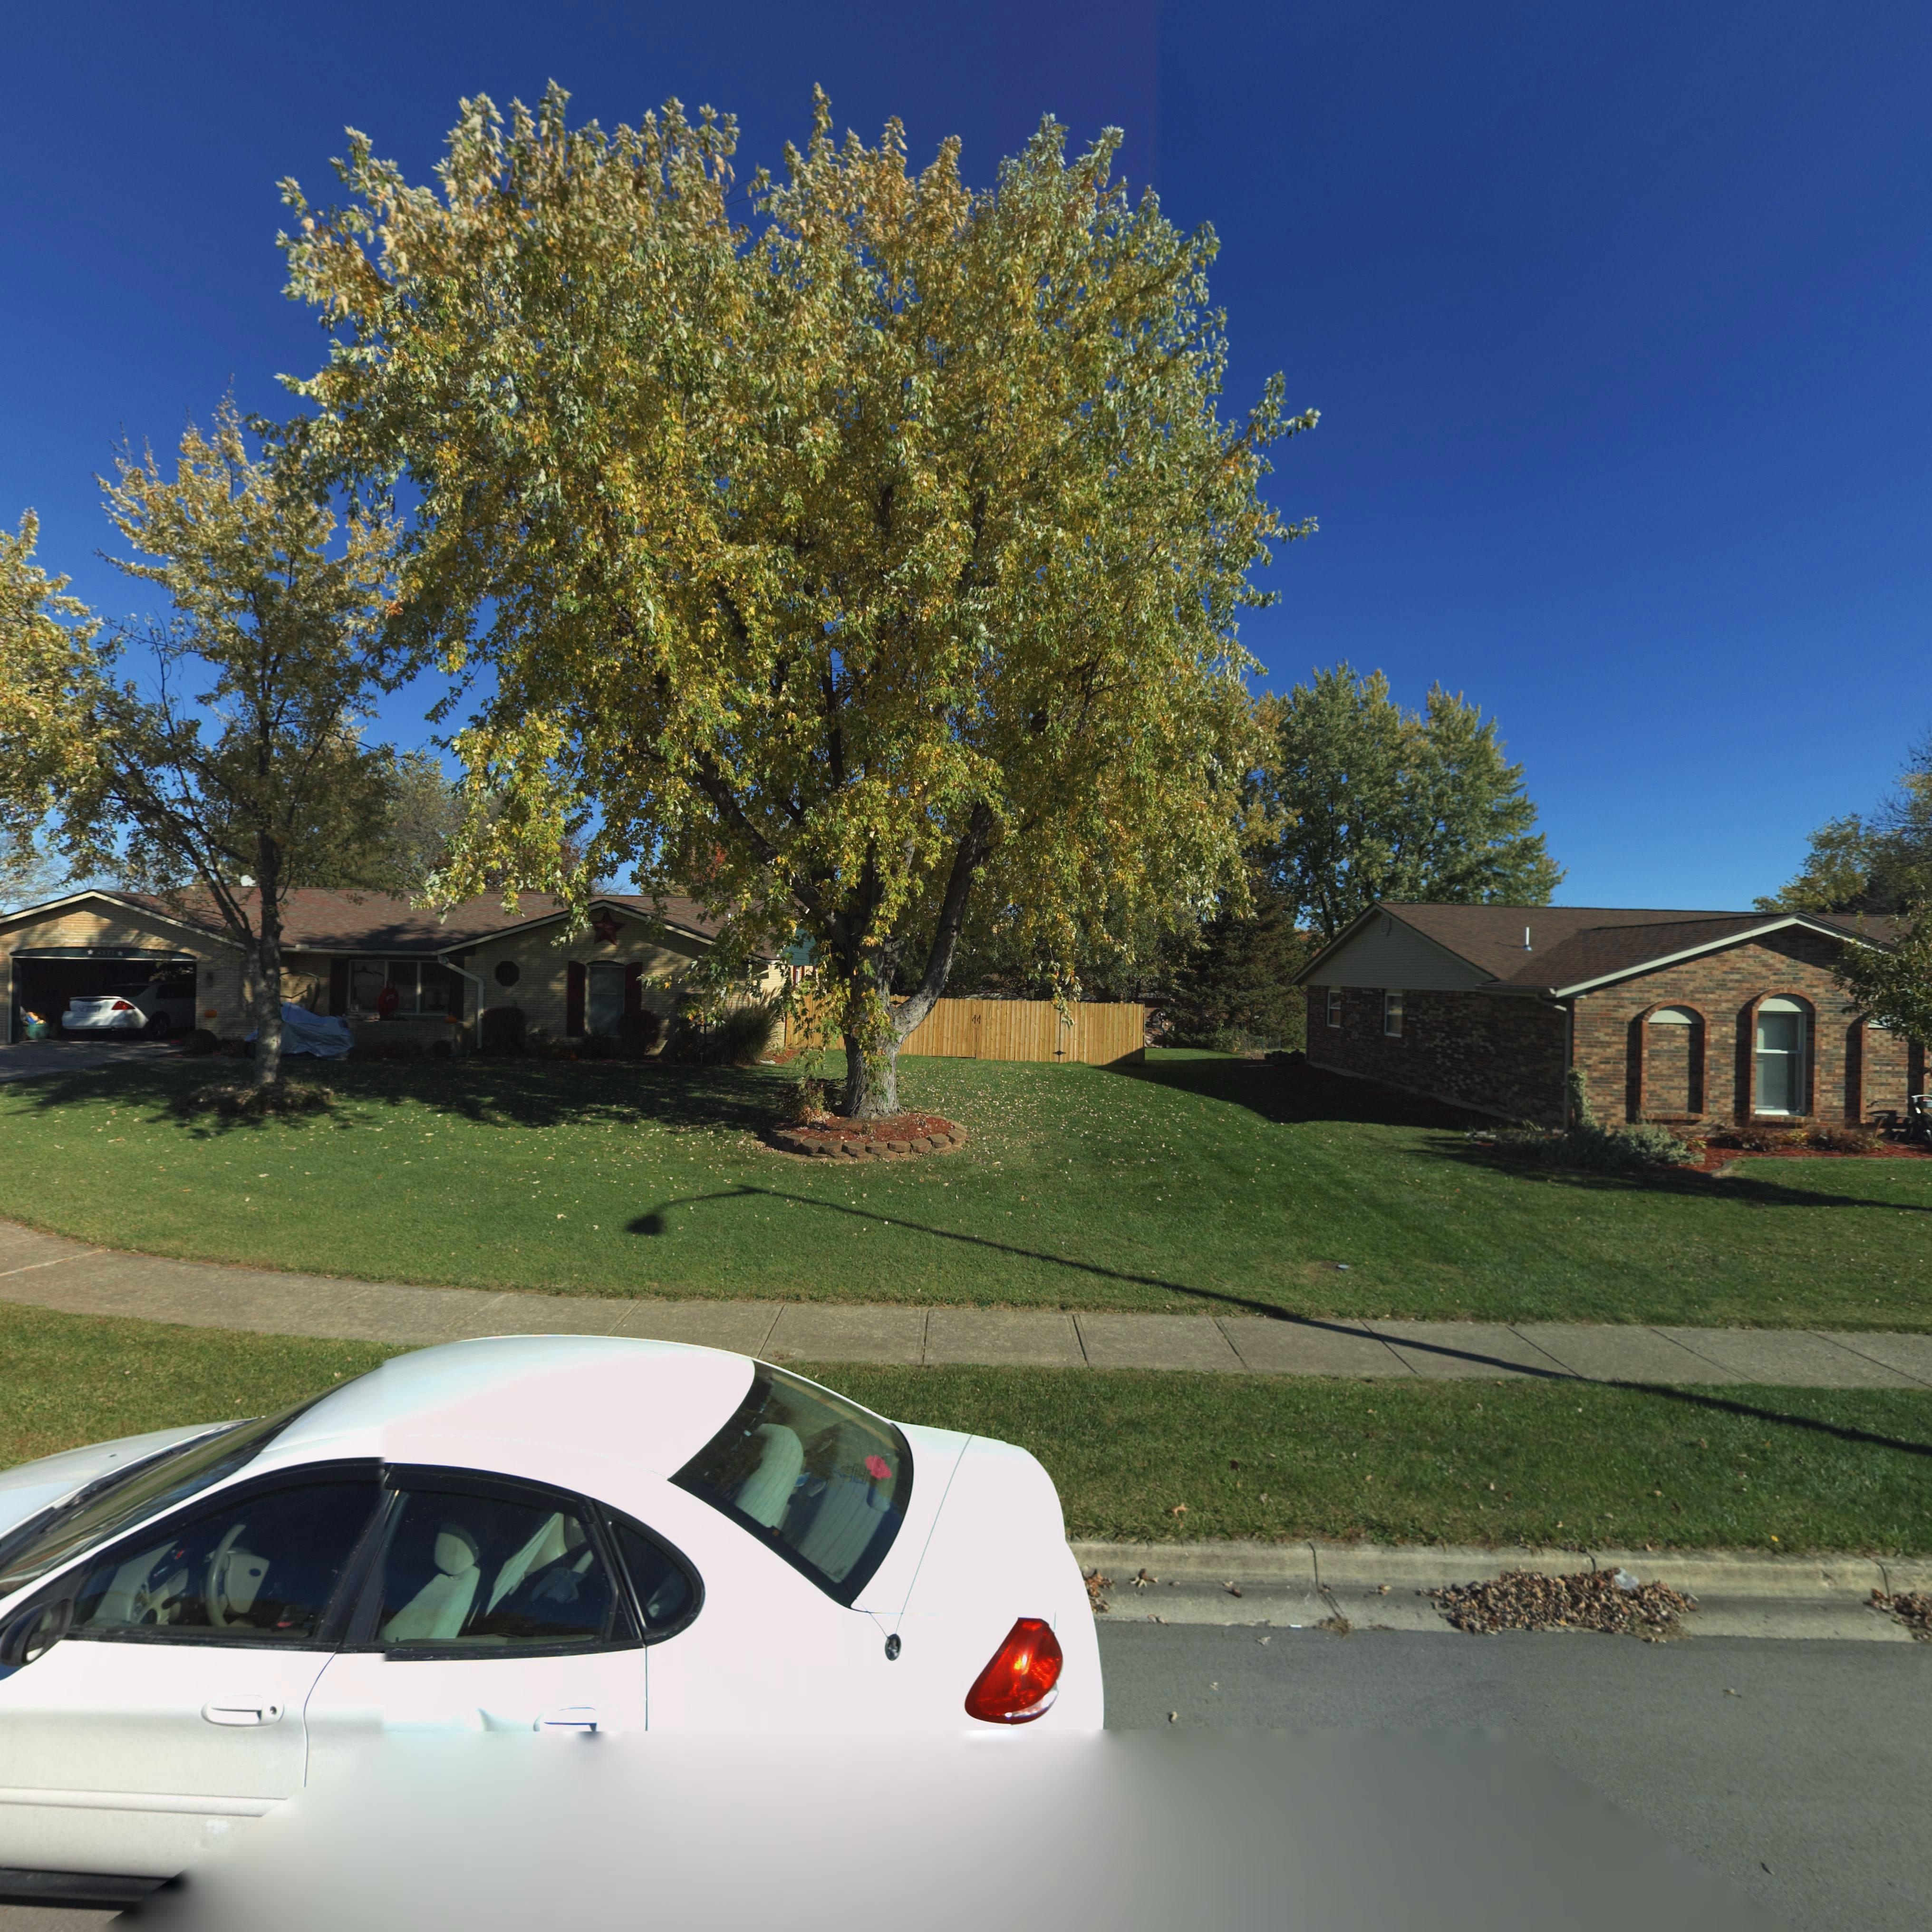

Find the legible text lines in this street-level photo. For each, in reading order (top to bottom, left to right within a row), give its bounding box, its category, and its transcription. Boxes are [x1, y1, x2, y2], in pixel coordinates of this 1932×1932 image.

[96, 949, 116, 956] StreetNumber: 437*